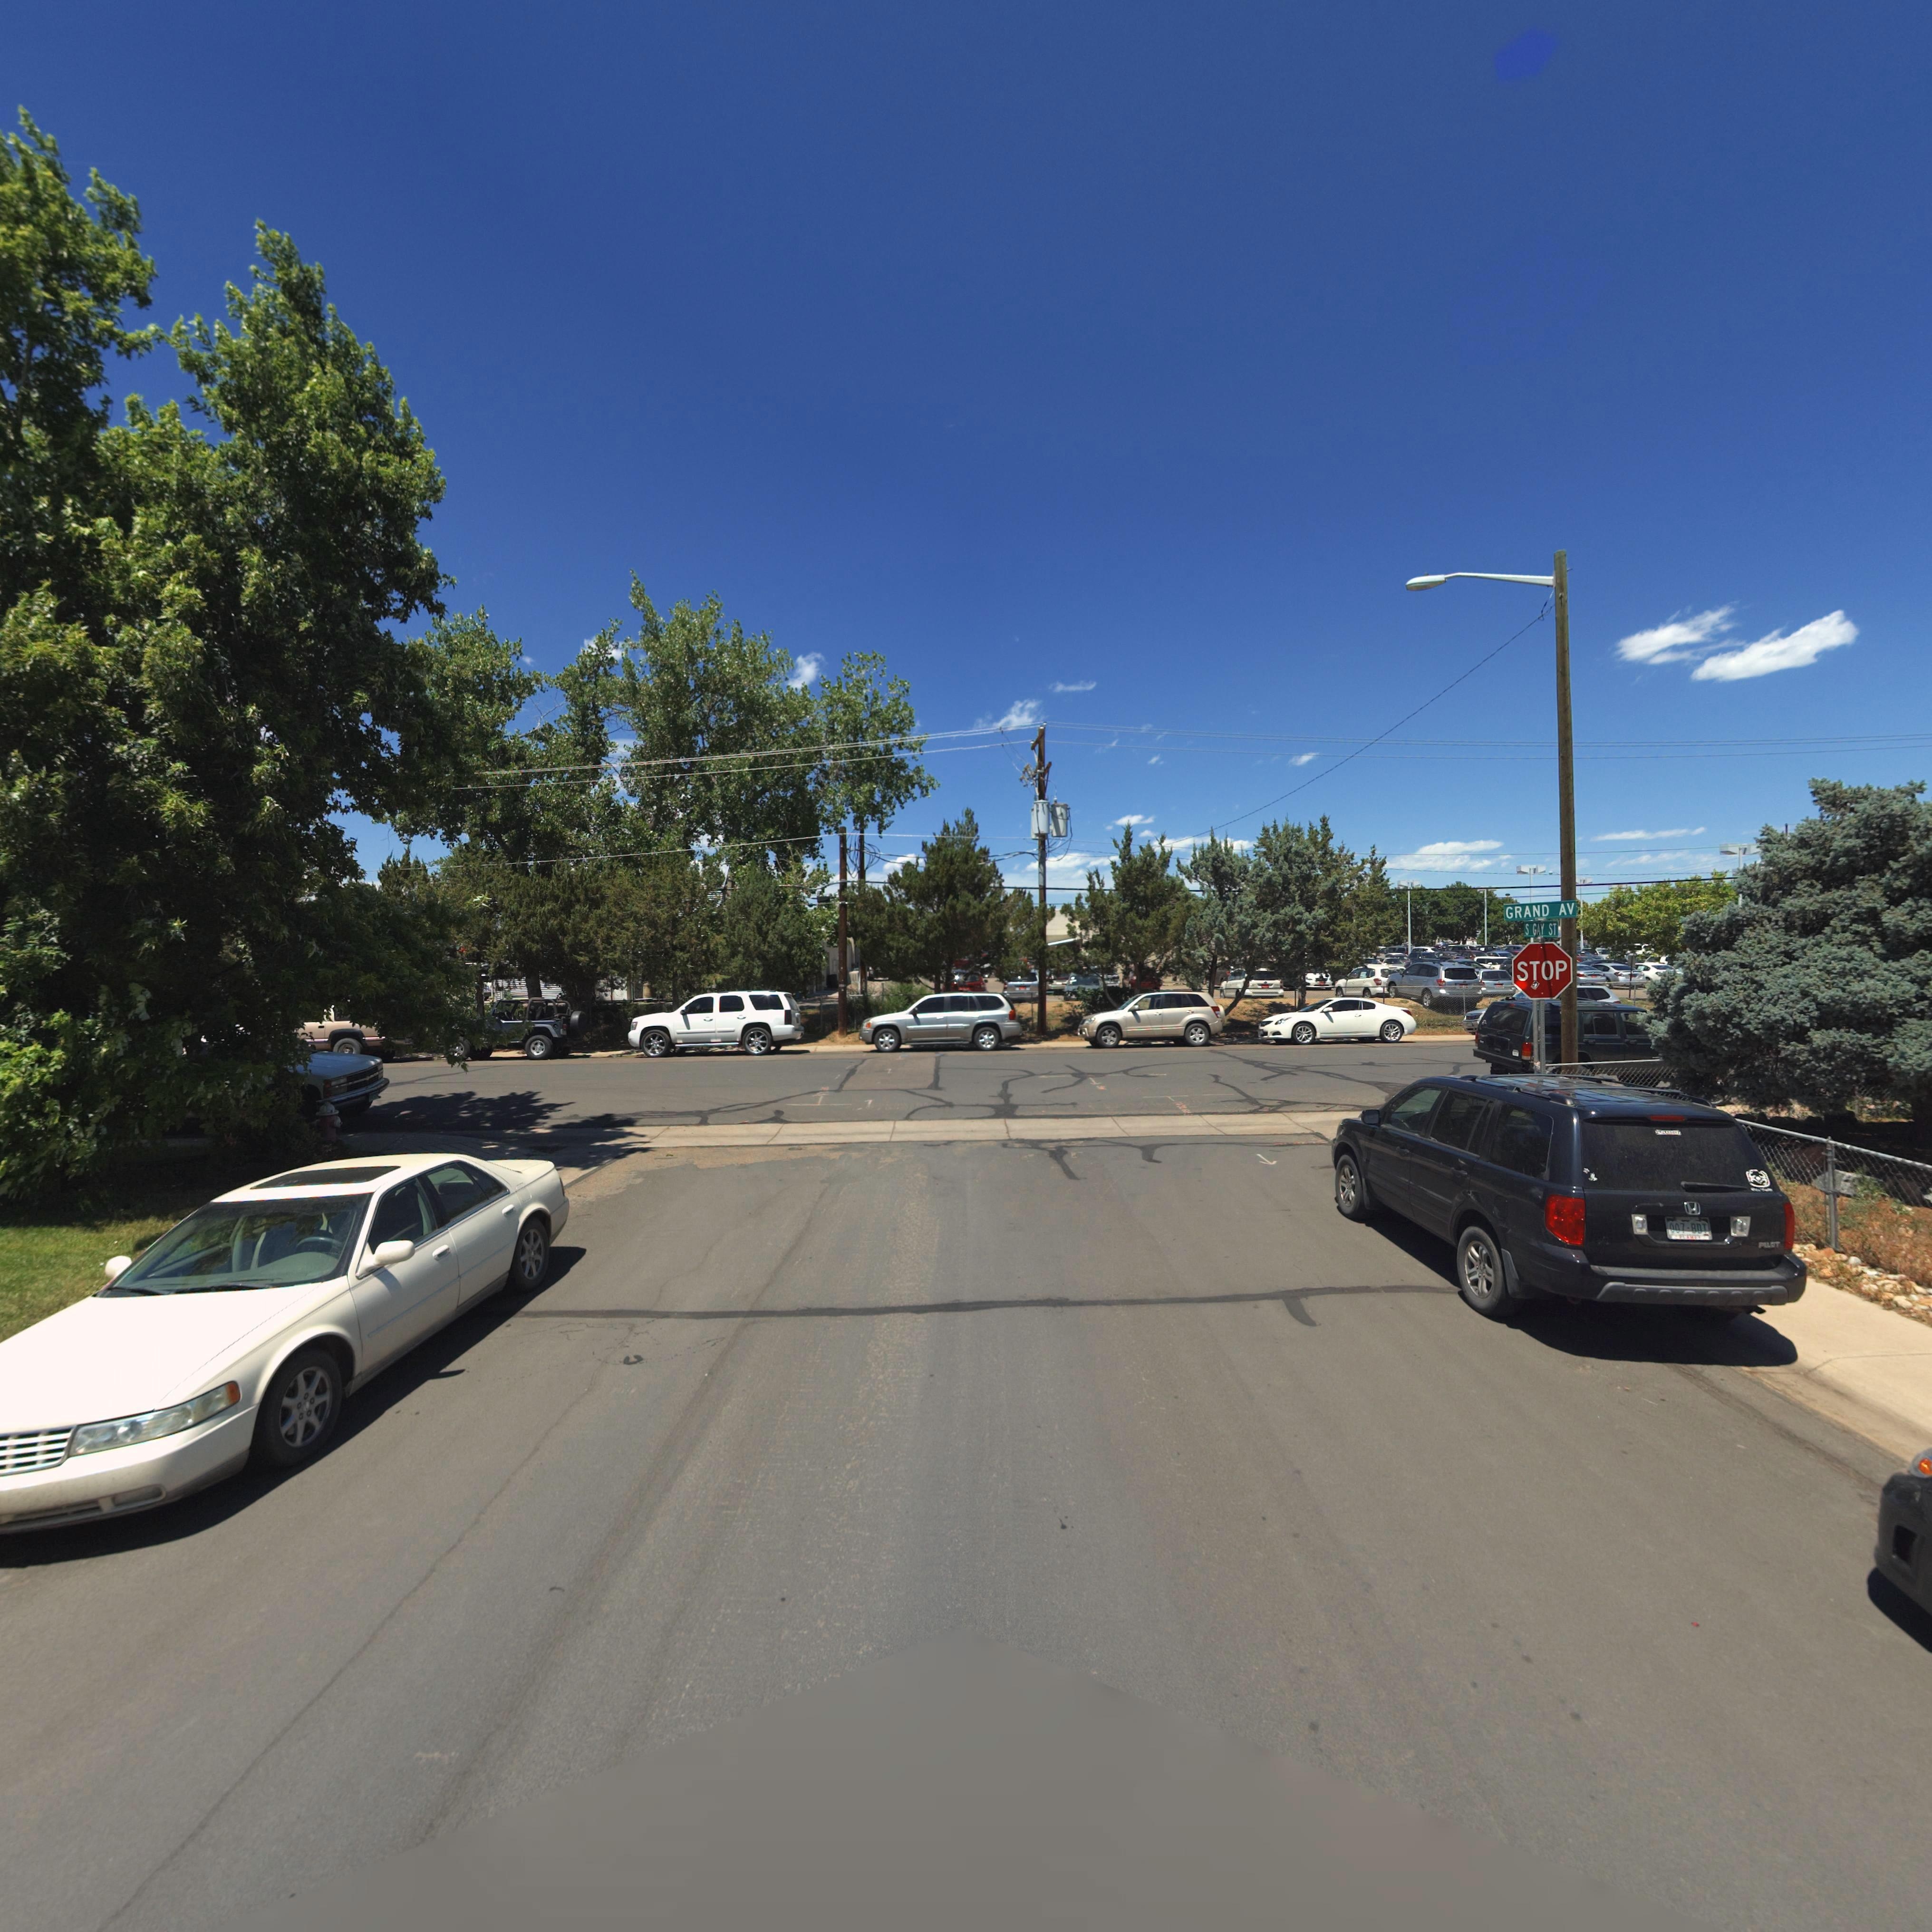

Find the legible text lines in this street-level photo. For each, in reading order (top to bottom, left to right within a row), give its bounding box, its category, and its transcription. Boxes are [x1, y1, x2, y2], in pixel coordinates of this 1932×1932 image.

[1505, 902, 1575, 919] StreetName: GRAND AV
[1525, 922, 1557, 936] StreetName: S GAY ST